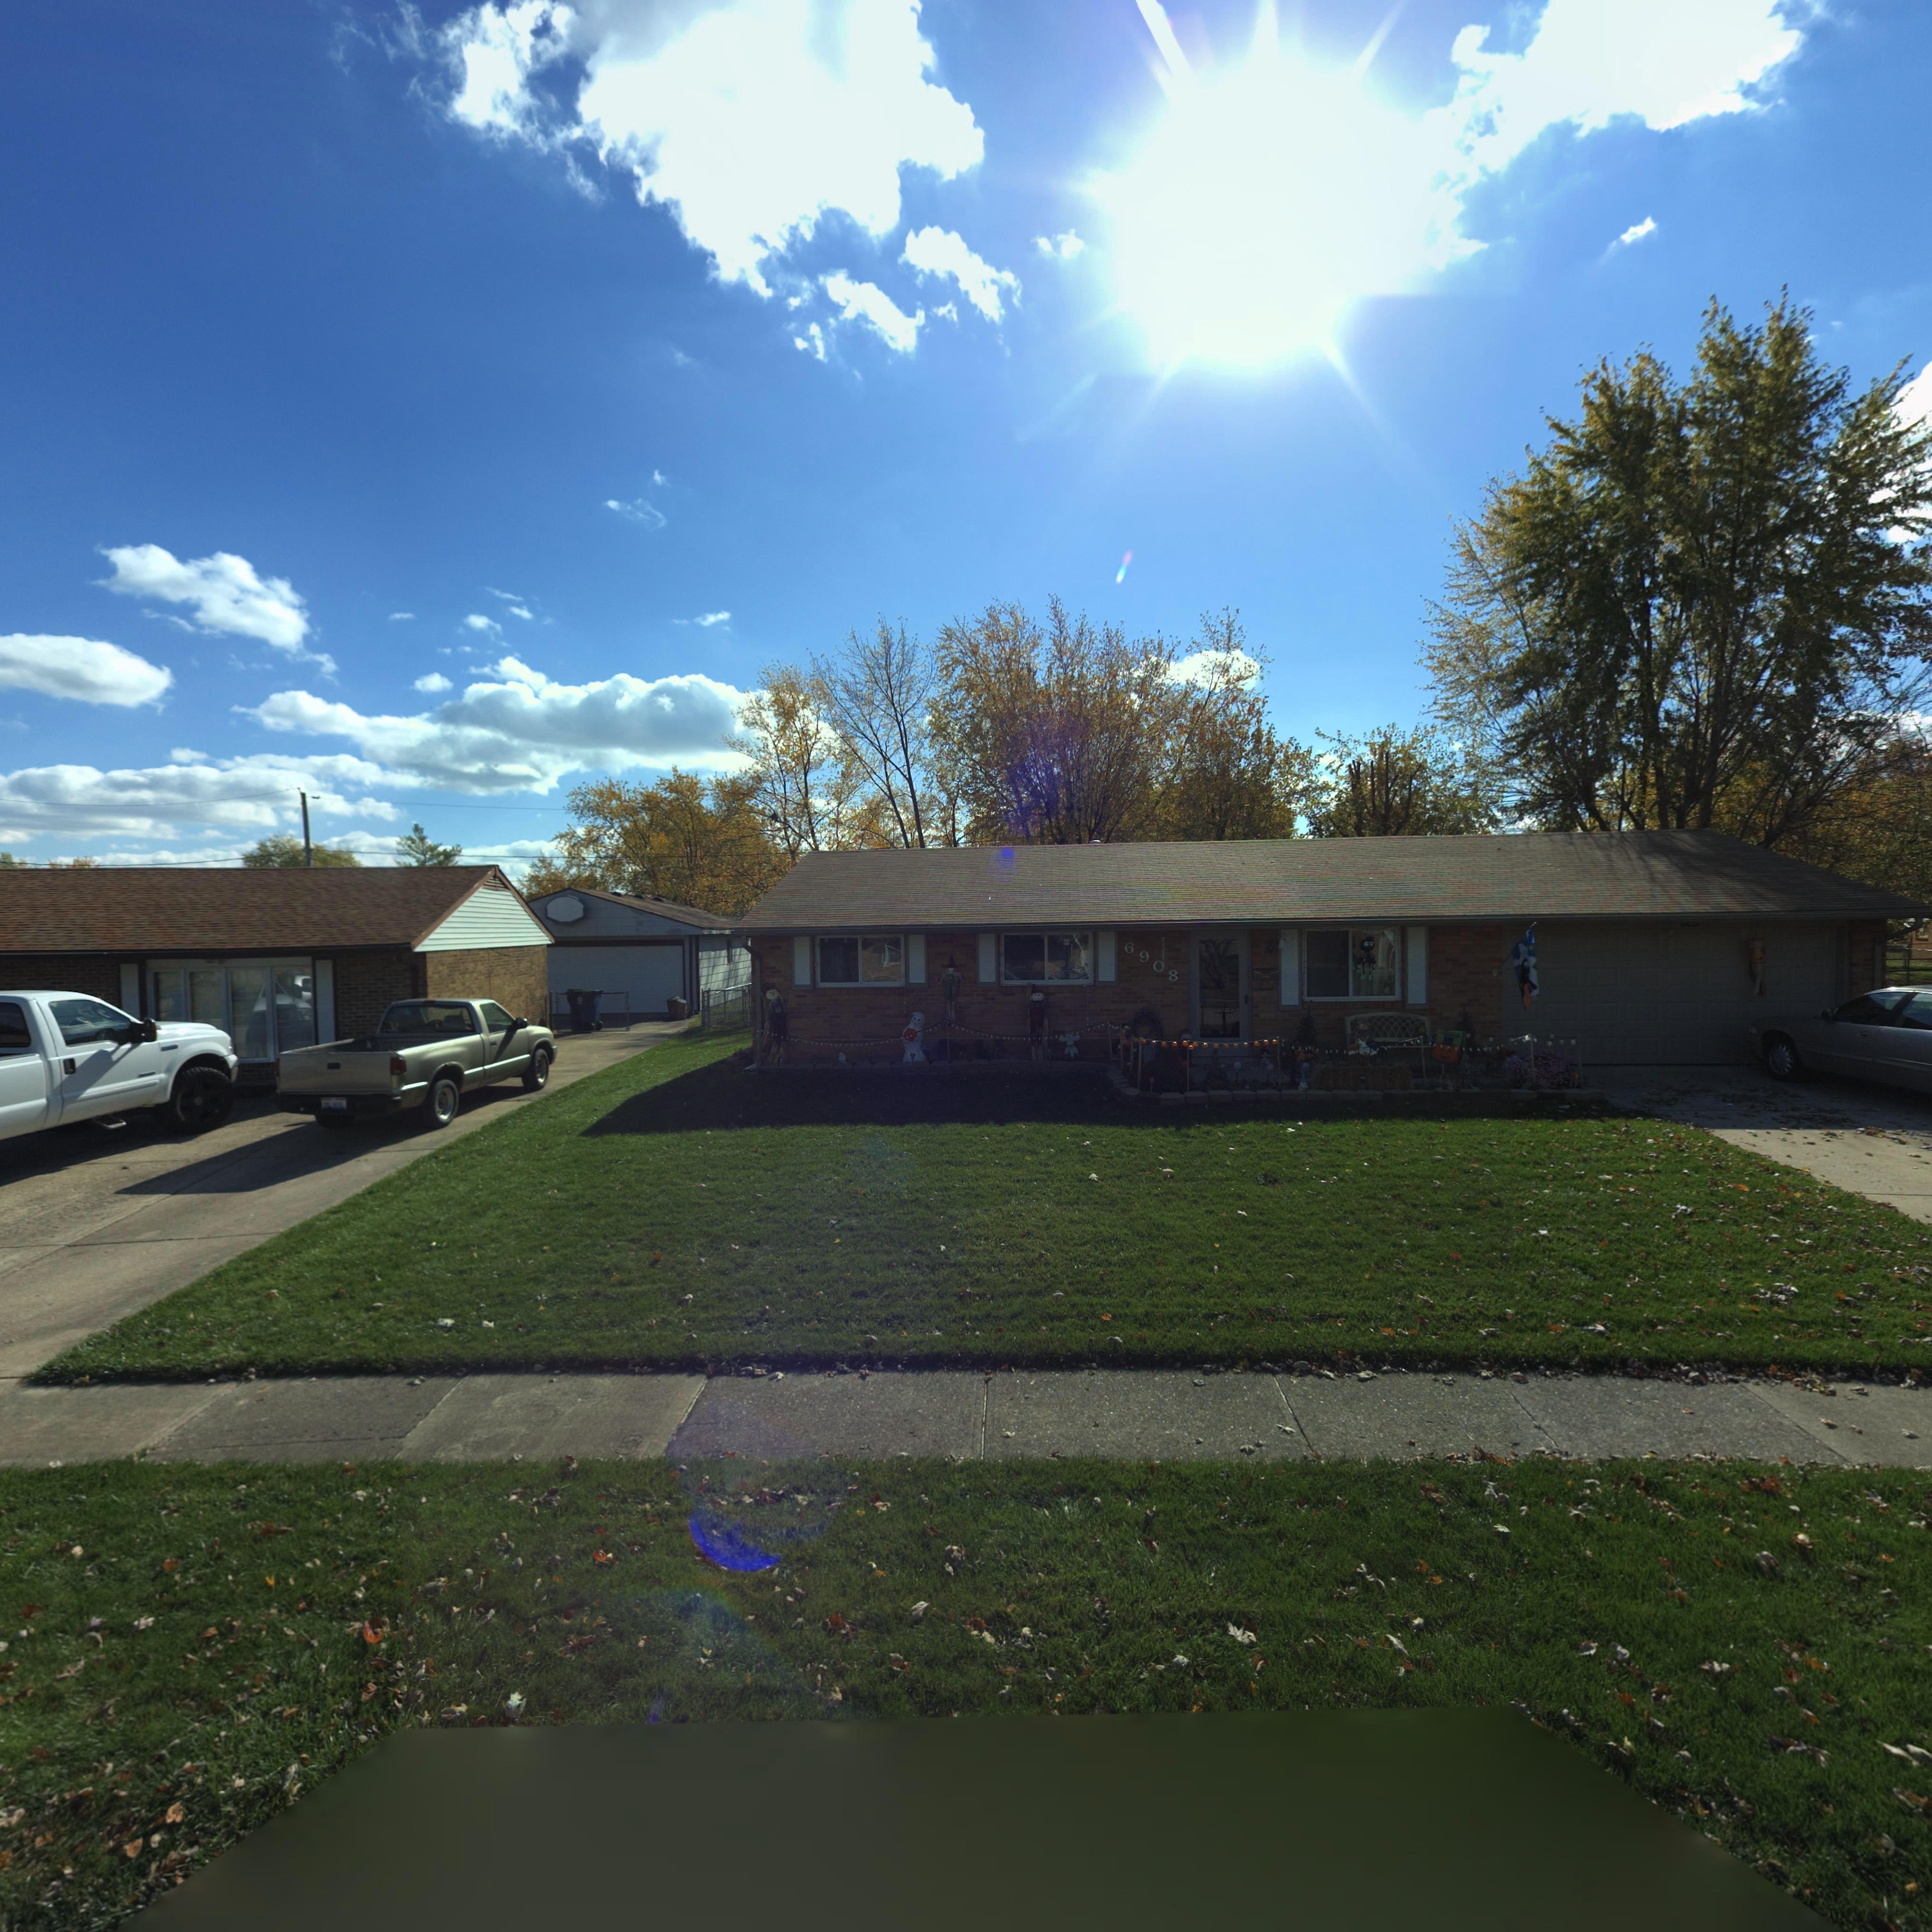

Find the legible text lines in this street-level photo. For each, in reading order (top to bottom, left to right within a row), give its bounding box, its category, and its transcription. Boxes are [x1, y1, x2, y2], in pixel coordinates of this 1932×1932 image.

[1123, 941, 1180, 983] StreetNumber: 6908